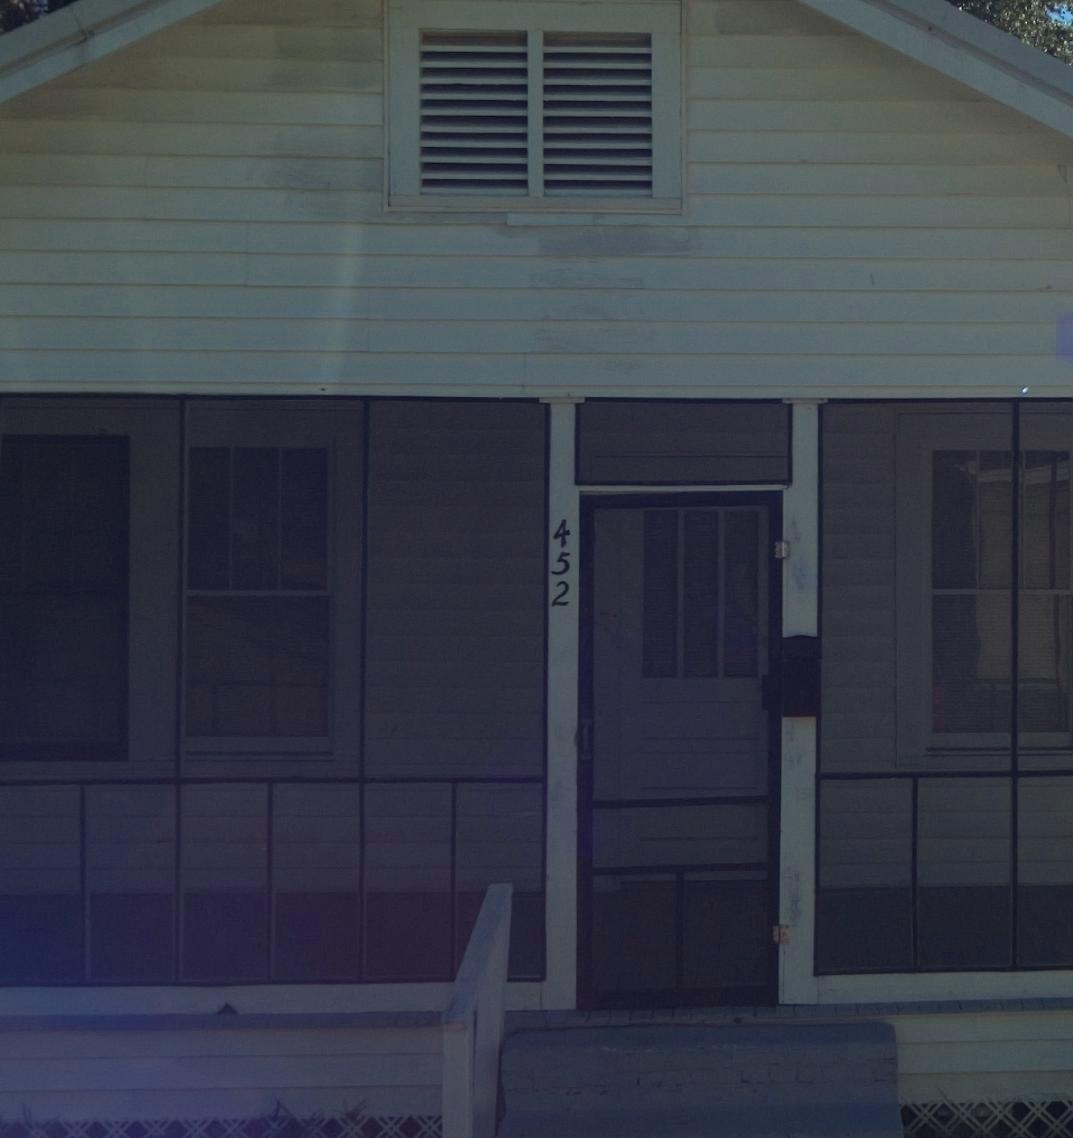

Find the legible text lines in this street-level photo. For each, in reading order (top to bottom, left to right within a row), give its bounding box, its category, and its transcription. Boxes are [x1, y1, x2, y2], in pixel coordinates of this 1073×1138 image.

[549, 516, 573, 609] StreetNumber: 452